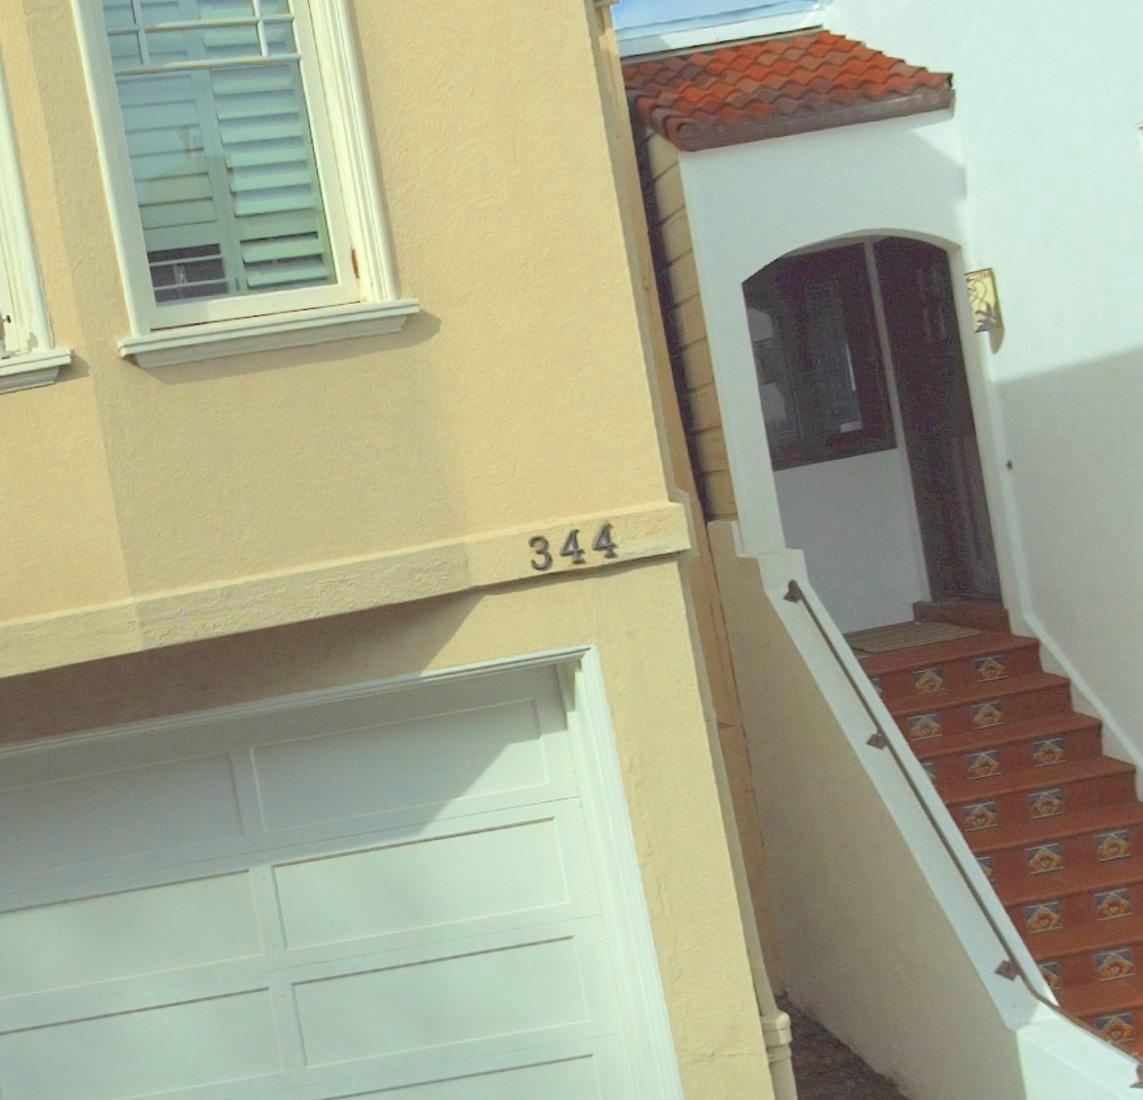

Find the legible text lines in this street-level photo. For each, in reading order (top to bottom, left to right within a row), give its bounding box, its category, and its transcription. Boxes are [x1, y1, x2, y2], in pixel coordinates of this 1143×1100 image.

[527, 519, 619, 574] StreetNumber: 344